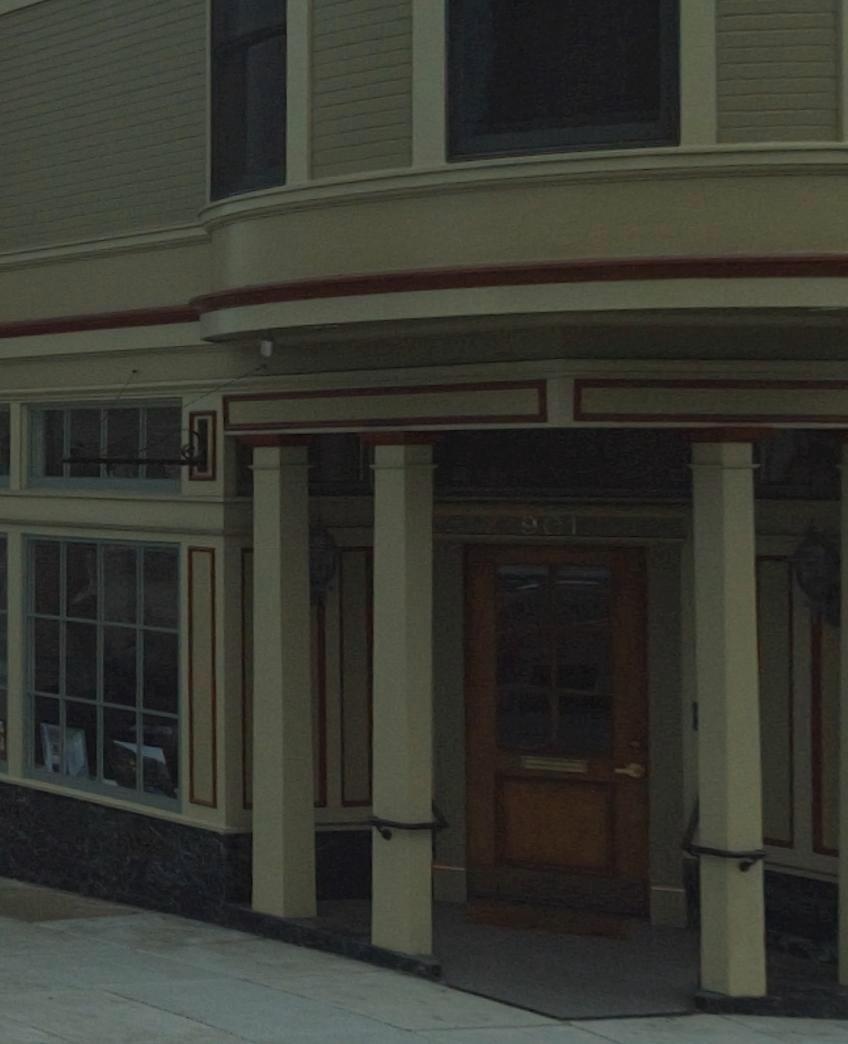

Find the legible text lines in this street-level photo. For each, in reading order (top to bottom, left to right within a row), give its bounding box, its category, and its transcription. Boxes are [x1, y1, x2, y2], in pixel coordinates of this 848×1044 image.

[517, 512, 581, 536] StreetNumber: 901